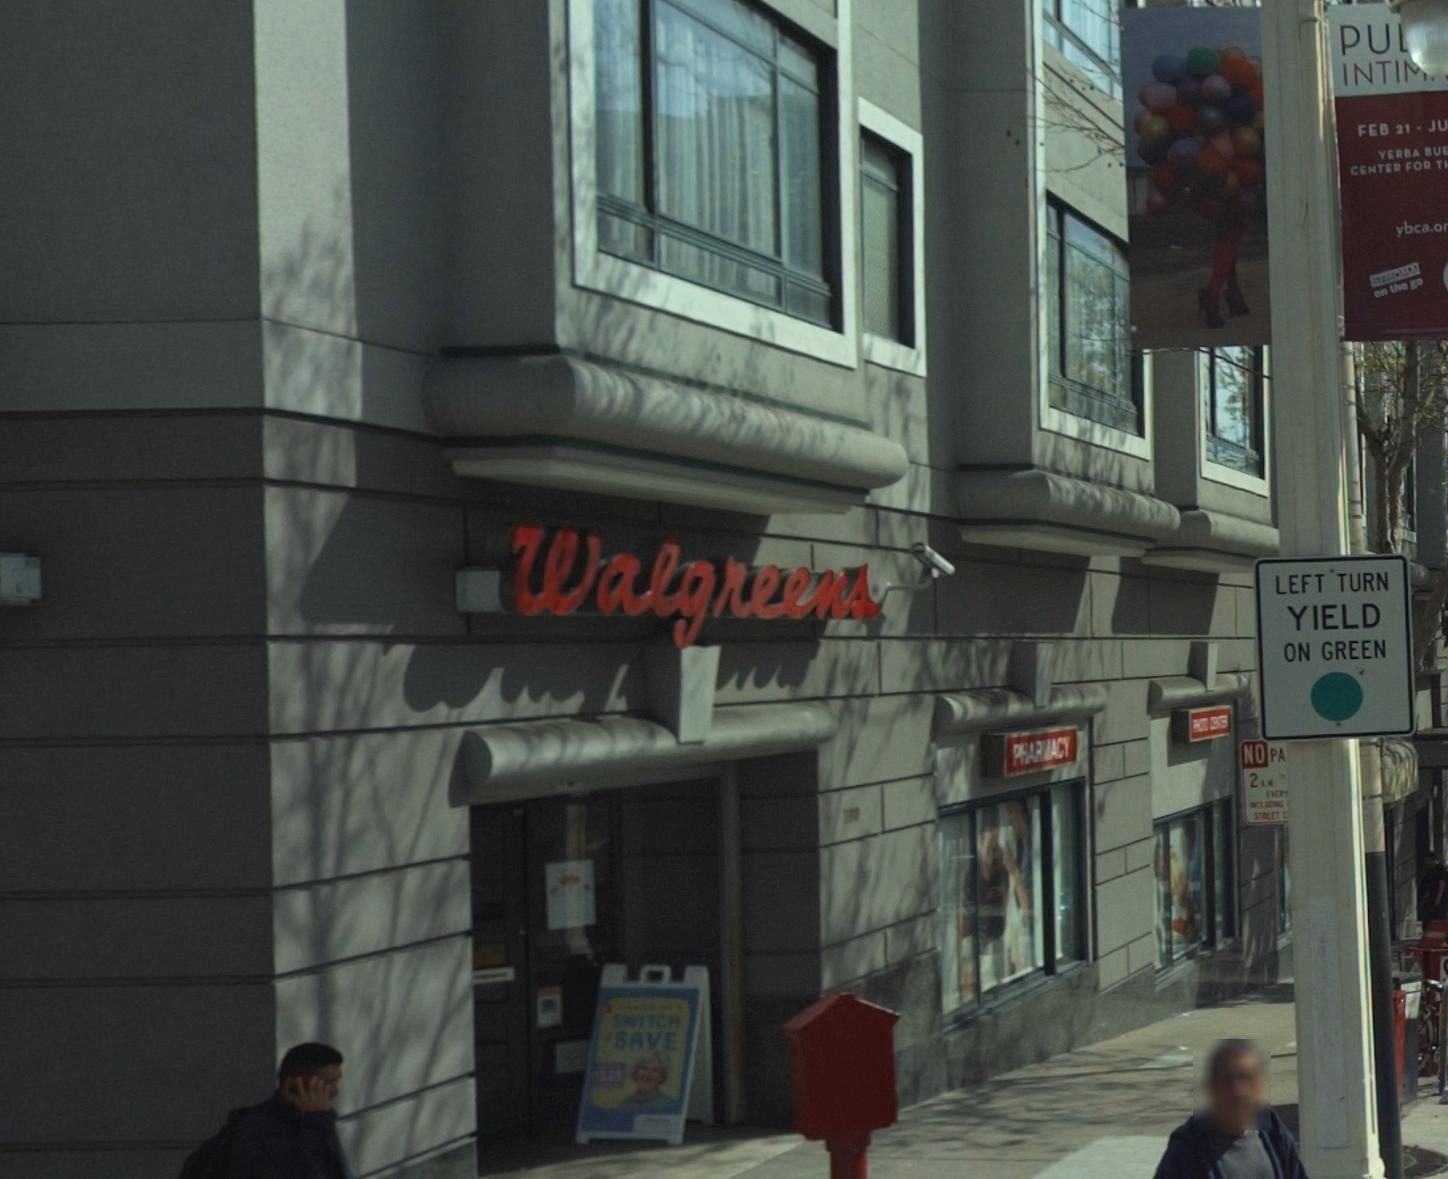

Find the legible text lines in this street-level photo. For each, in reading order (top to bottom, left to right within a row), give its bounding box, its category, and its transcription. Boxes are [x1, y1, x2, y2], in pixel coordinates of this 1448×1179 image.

[1337, 20, 1395, 59] None: PU
[1340, 56, 1403, 89] None: INTI
[1355, 116, 1439, 141] None: FEB 21 - J
[1372, 143, 1444, 162] None: YERBA BU
[1347, 157, 1445, 179] None: CENTER FOR T
[1391, 218, 1445, 242] None: ybca.o
[1370, 274, 1427, 303] None: on the go
[505, 518, 884, 654] BusinessName: Walgreens
[1272, 567, 1392, 598] None: LAFT TURN
[1281, 599, 1384, 633] None: YEILD
[1280, 635, 1389, 666] None: ON GREEN
[1010, 732, 1073, 769] None: PHAR*ACY
[1241, 741, 1289, 767] None: NO PA
[1246, 769, 1262, 791] None: 2
[609, 1010, 683, 1029] None: SWITCH
[610, 1028, 682, 1054] None: SAVE